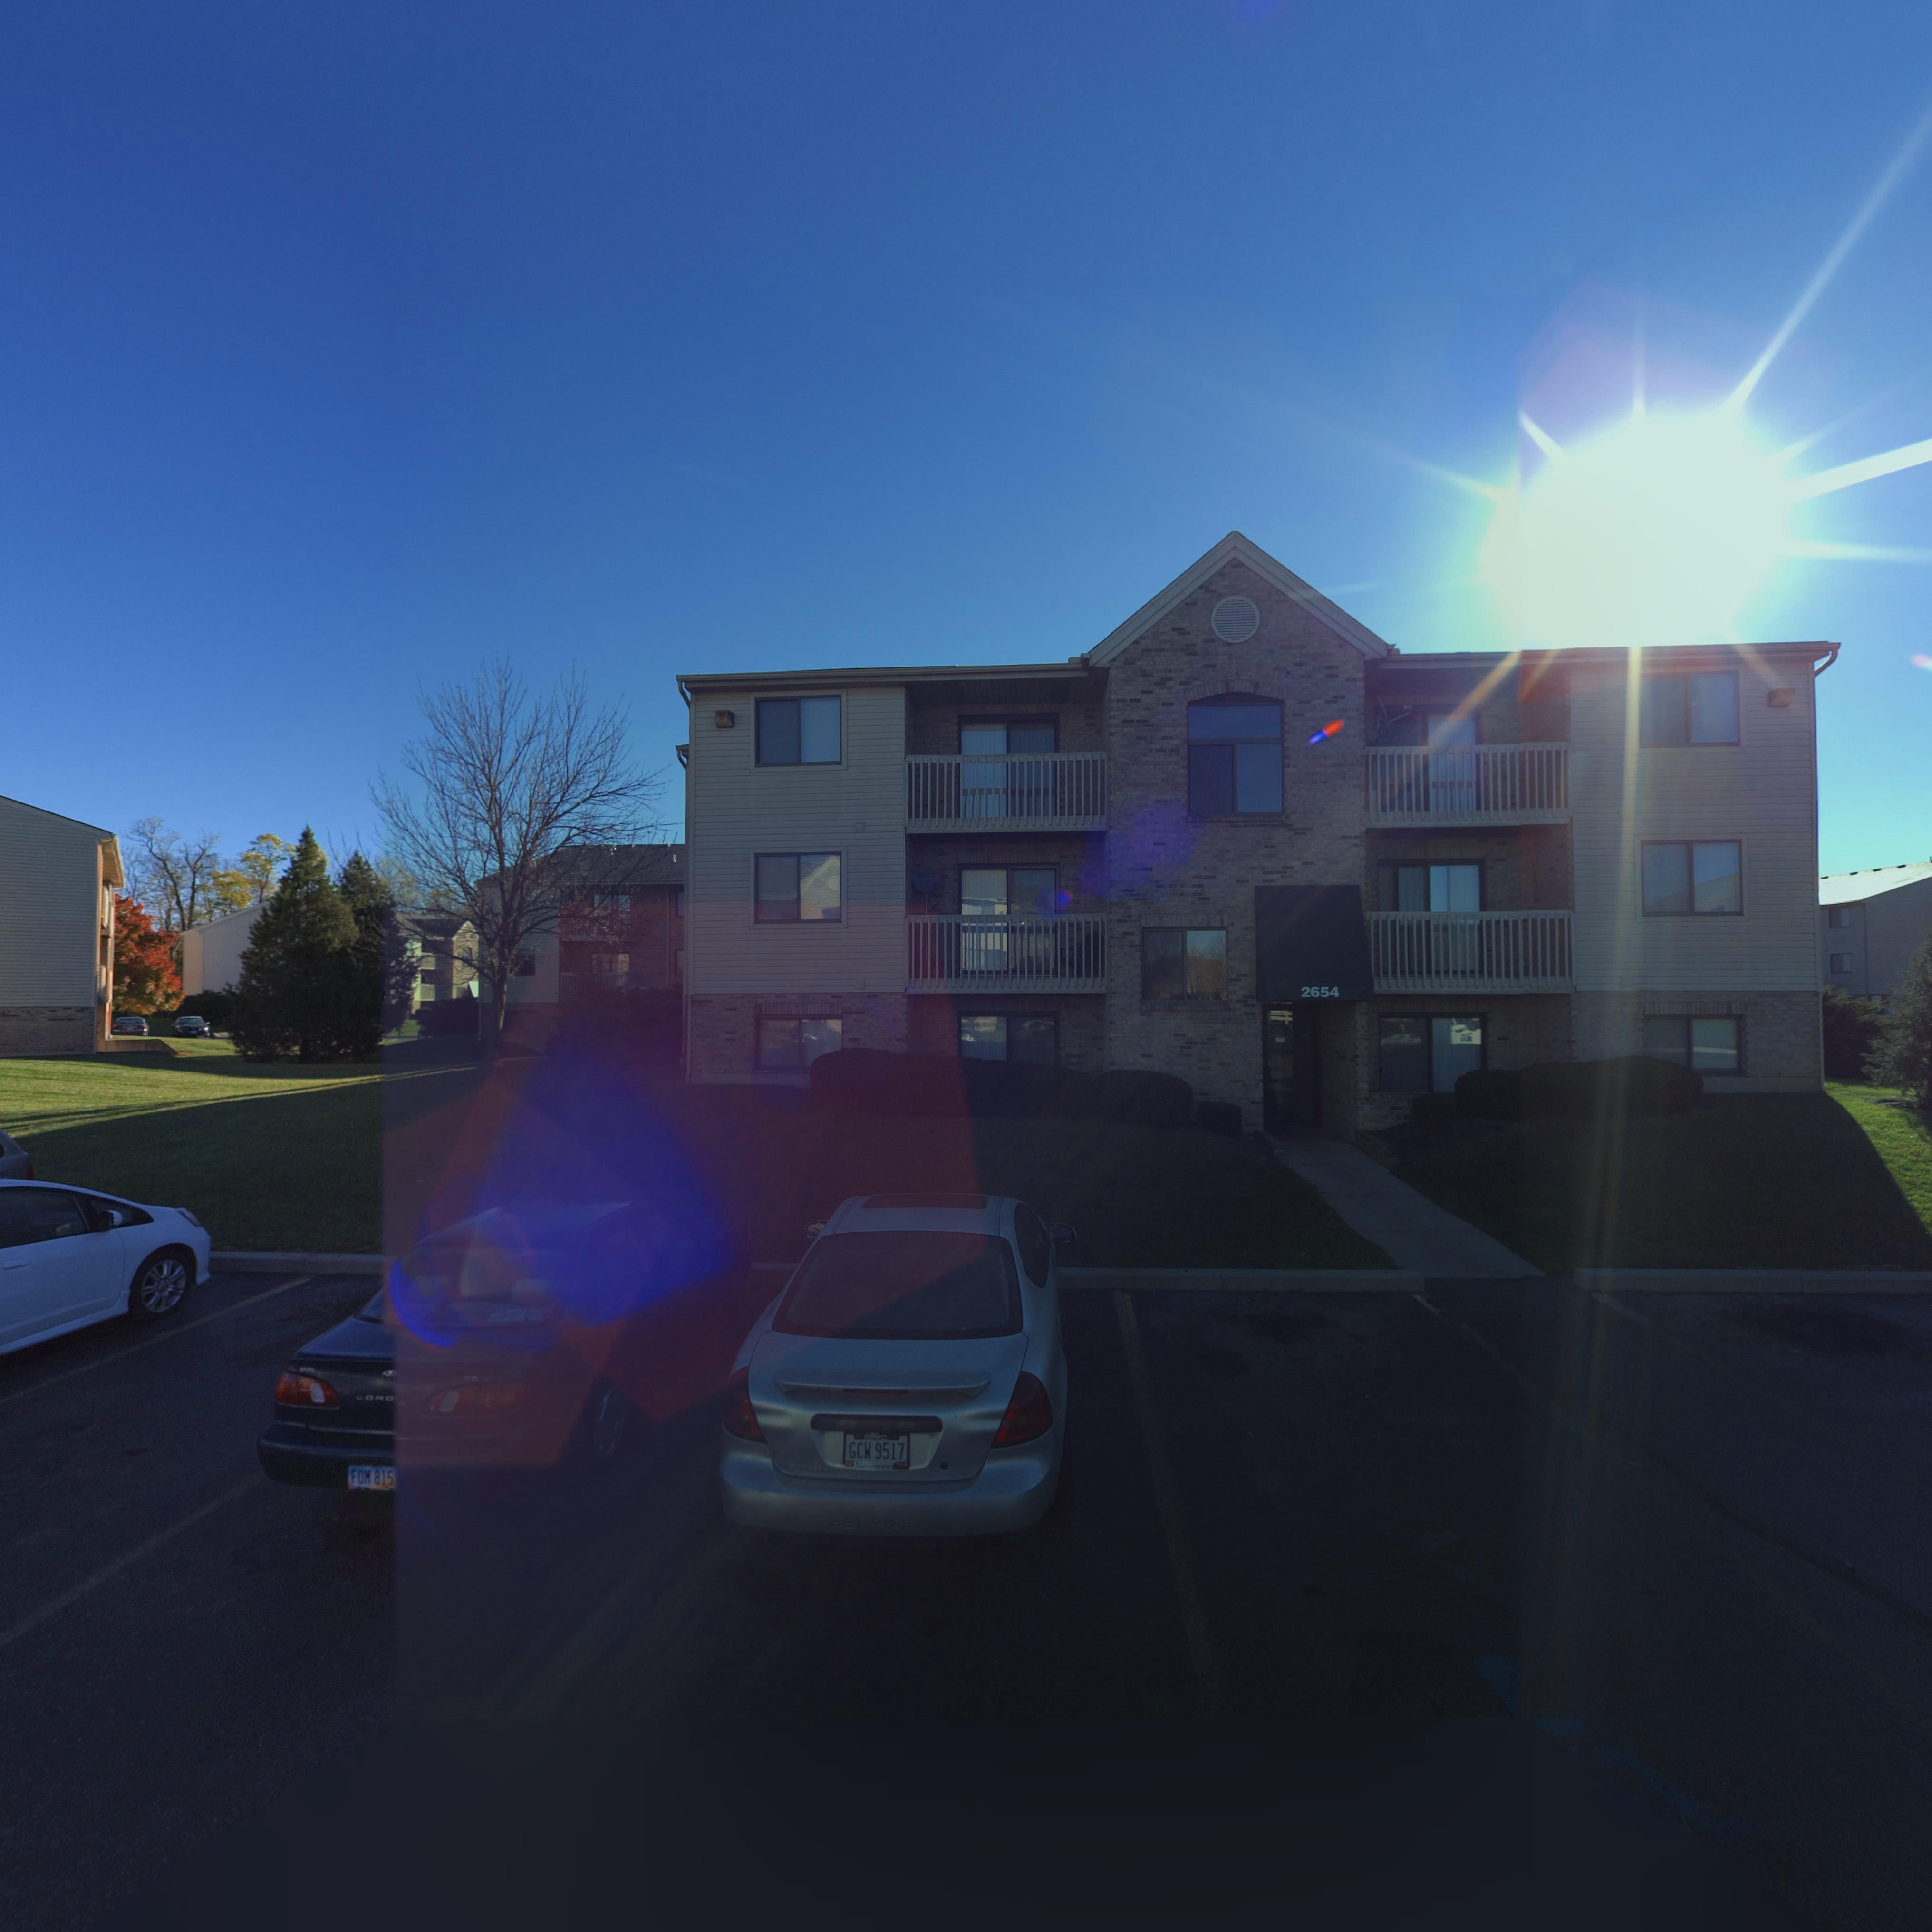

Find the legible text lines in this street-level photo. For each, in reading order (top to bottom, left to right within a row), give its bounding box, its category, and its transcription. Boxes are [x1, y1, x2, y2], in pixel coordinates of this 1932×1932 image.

[1300, 985, 1340, 998] StreetNumber: 2654